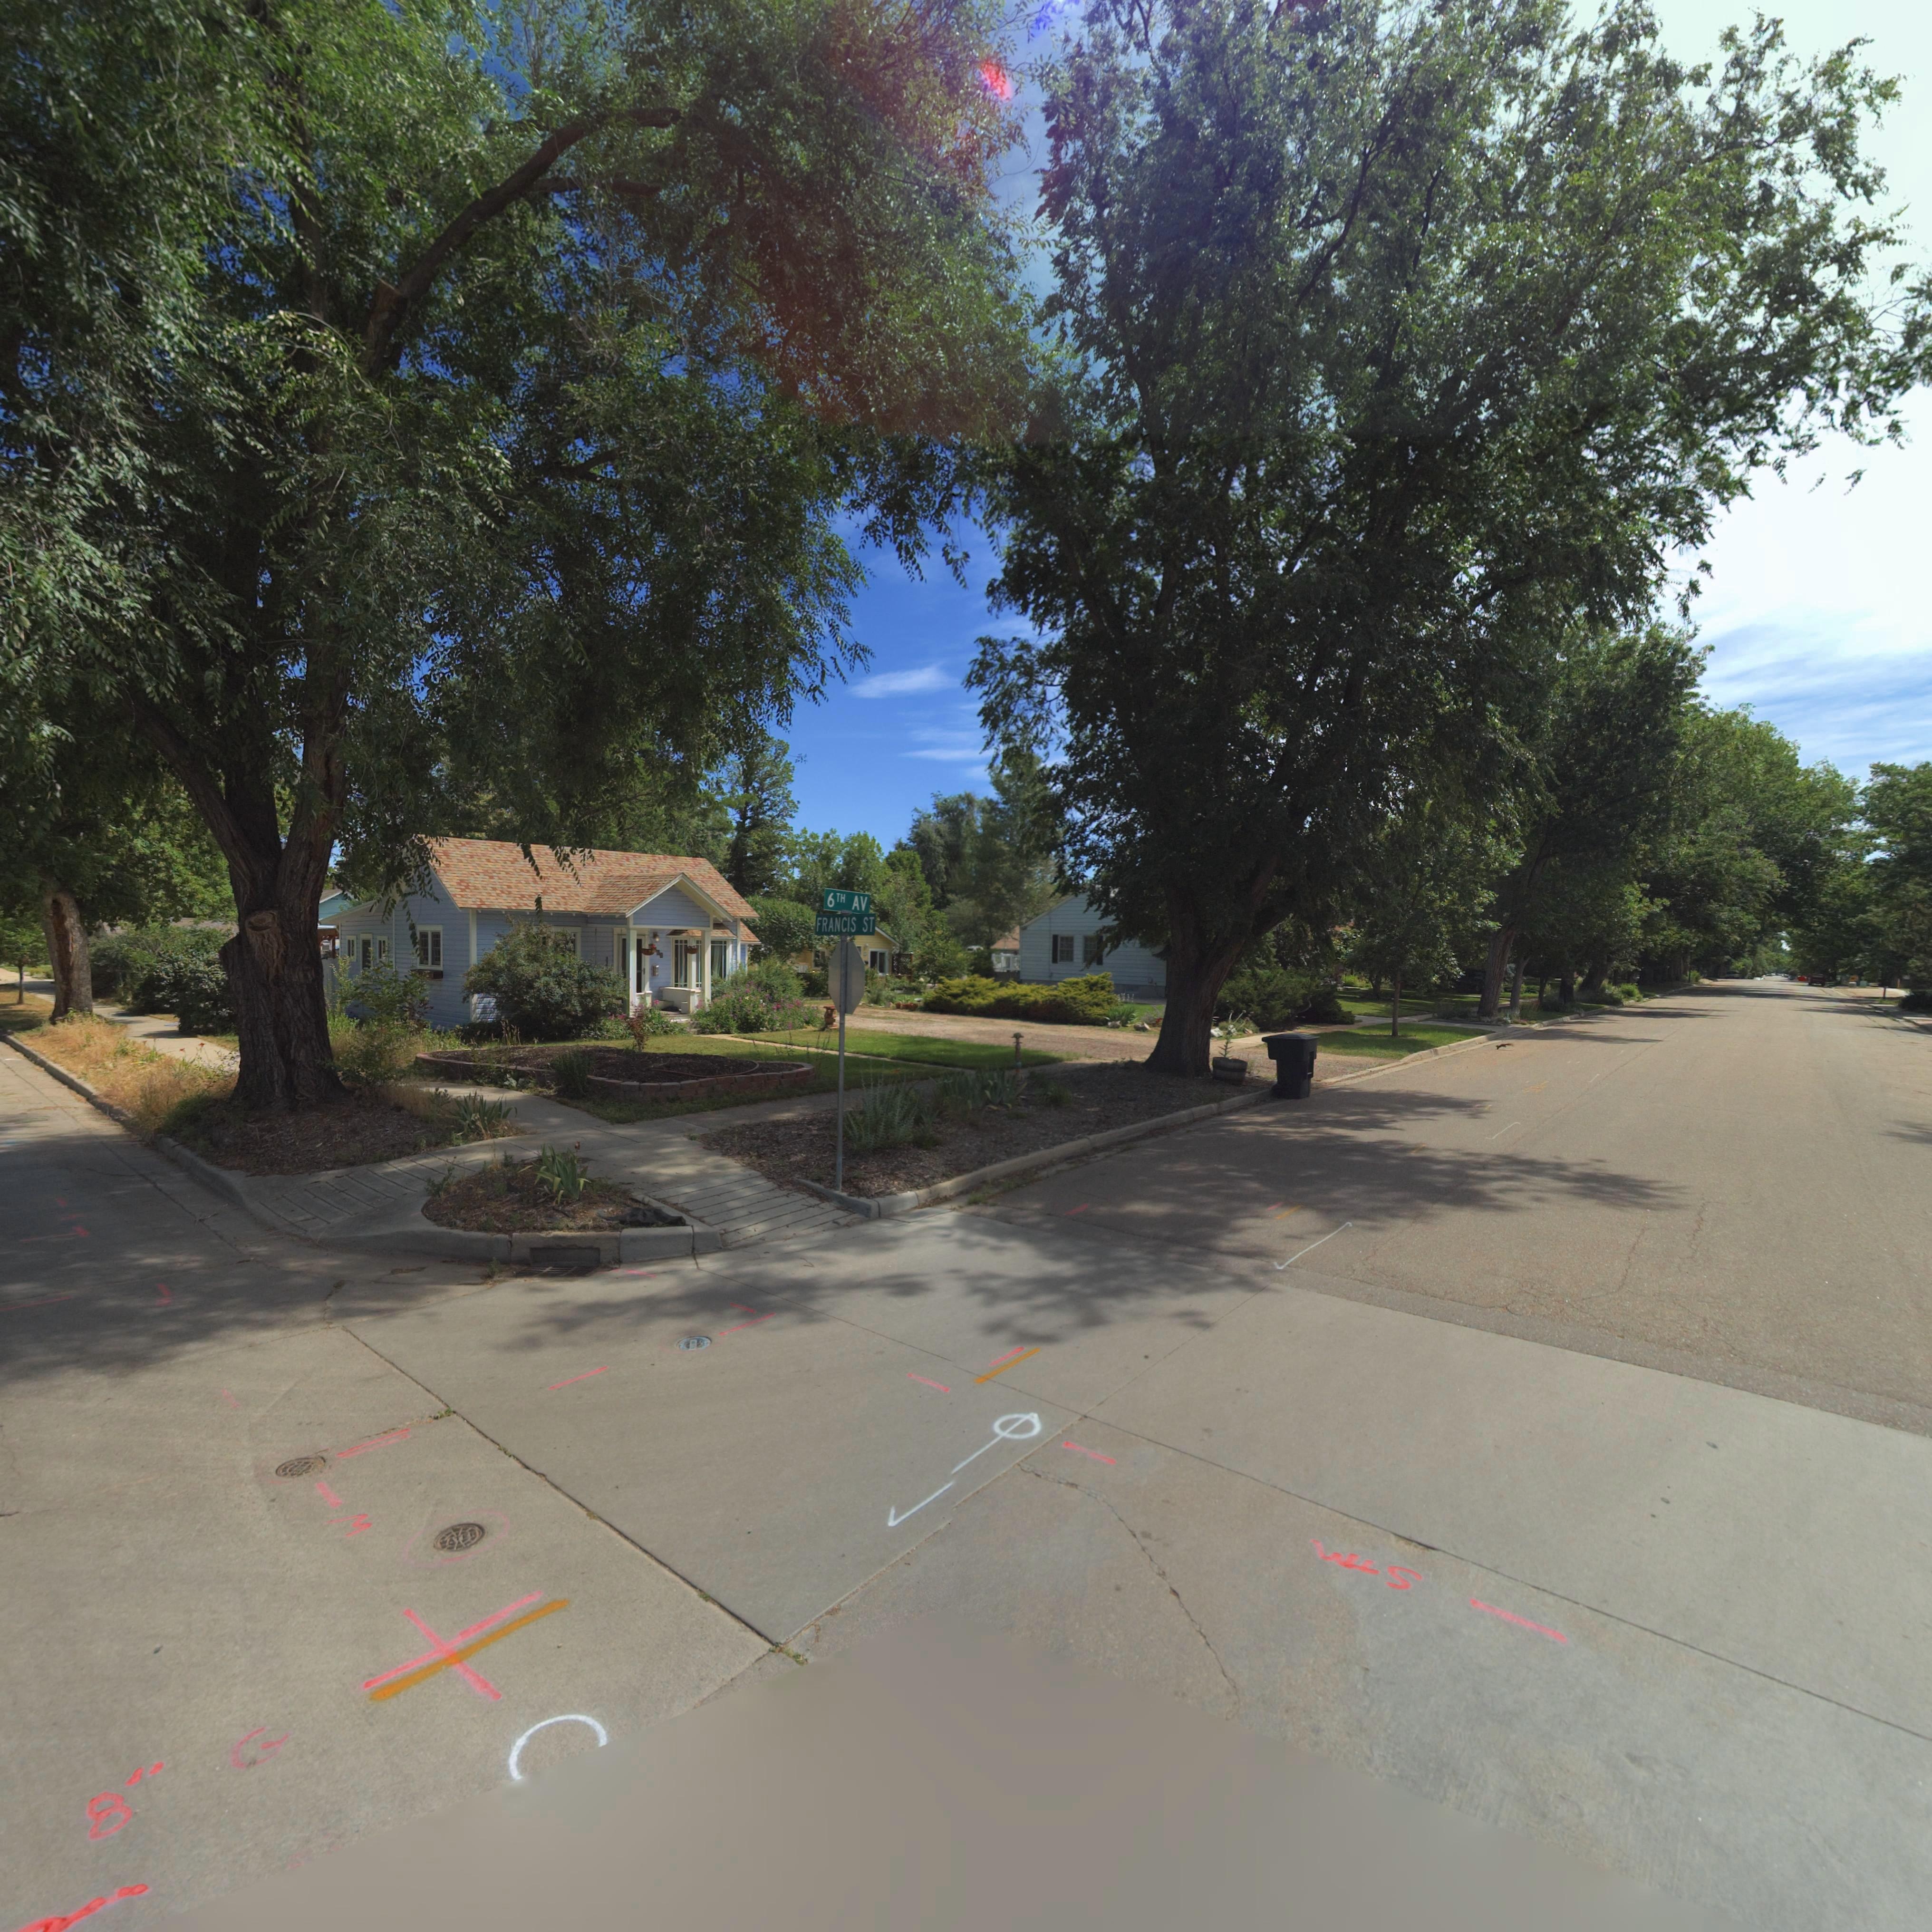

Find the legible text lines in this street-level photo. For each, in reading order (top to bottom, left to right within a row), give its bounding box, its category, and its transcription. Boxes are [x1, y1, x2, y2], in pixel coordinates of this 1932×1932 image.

[826, 891, 868, 911] StreetName: 6TH AV
[816, 916, 874, 933] StreetName: FRANCIS ST